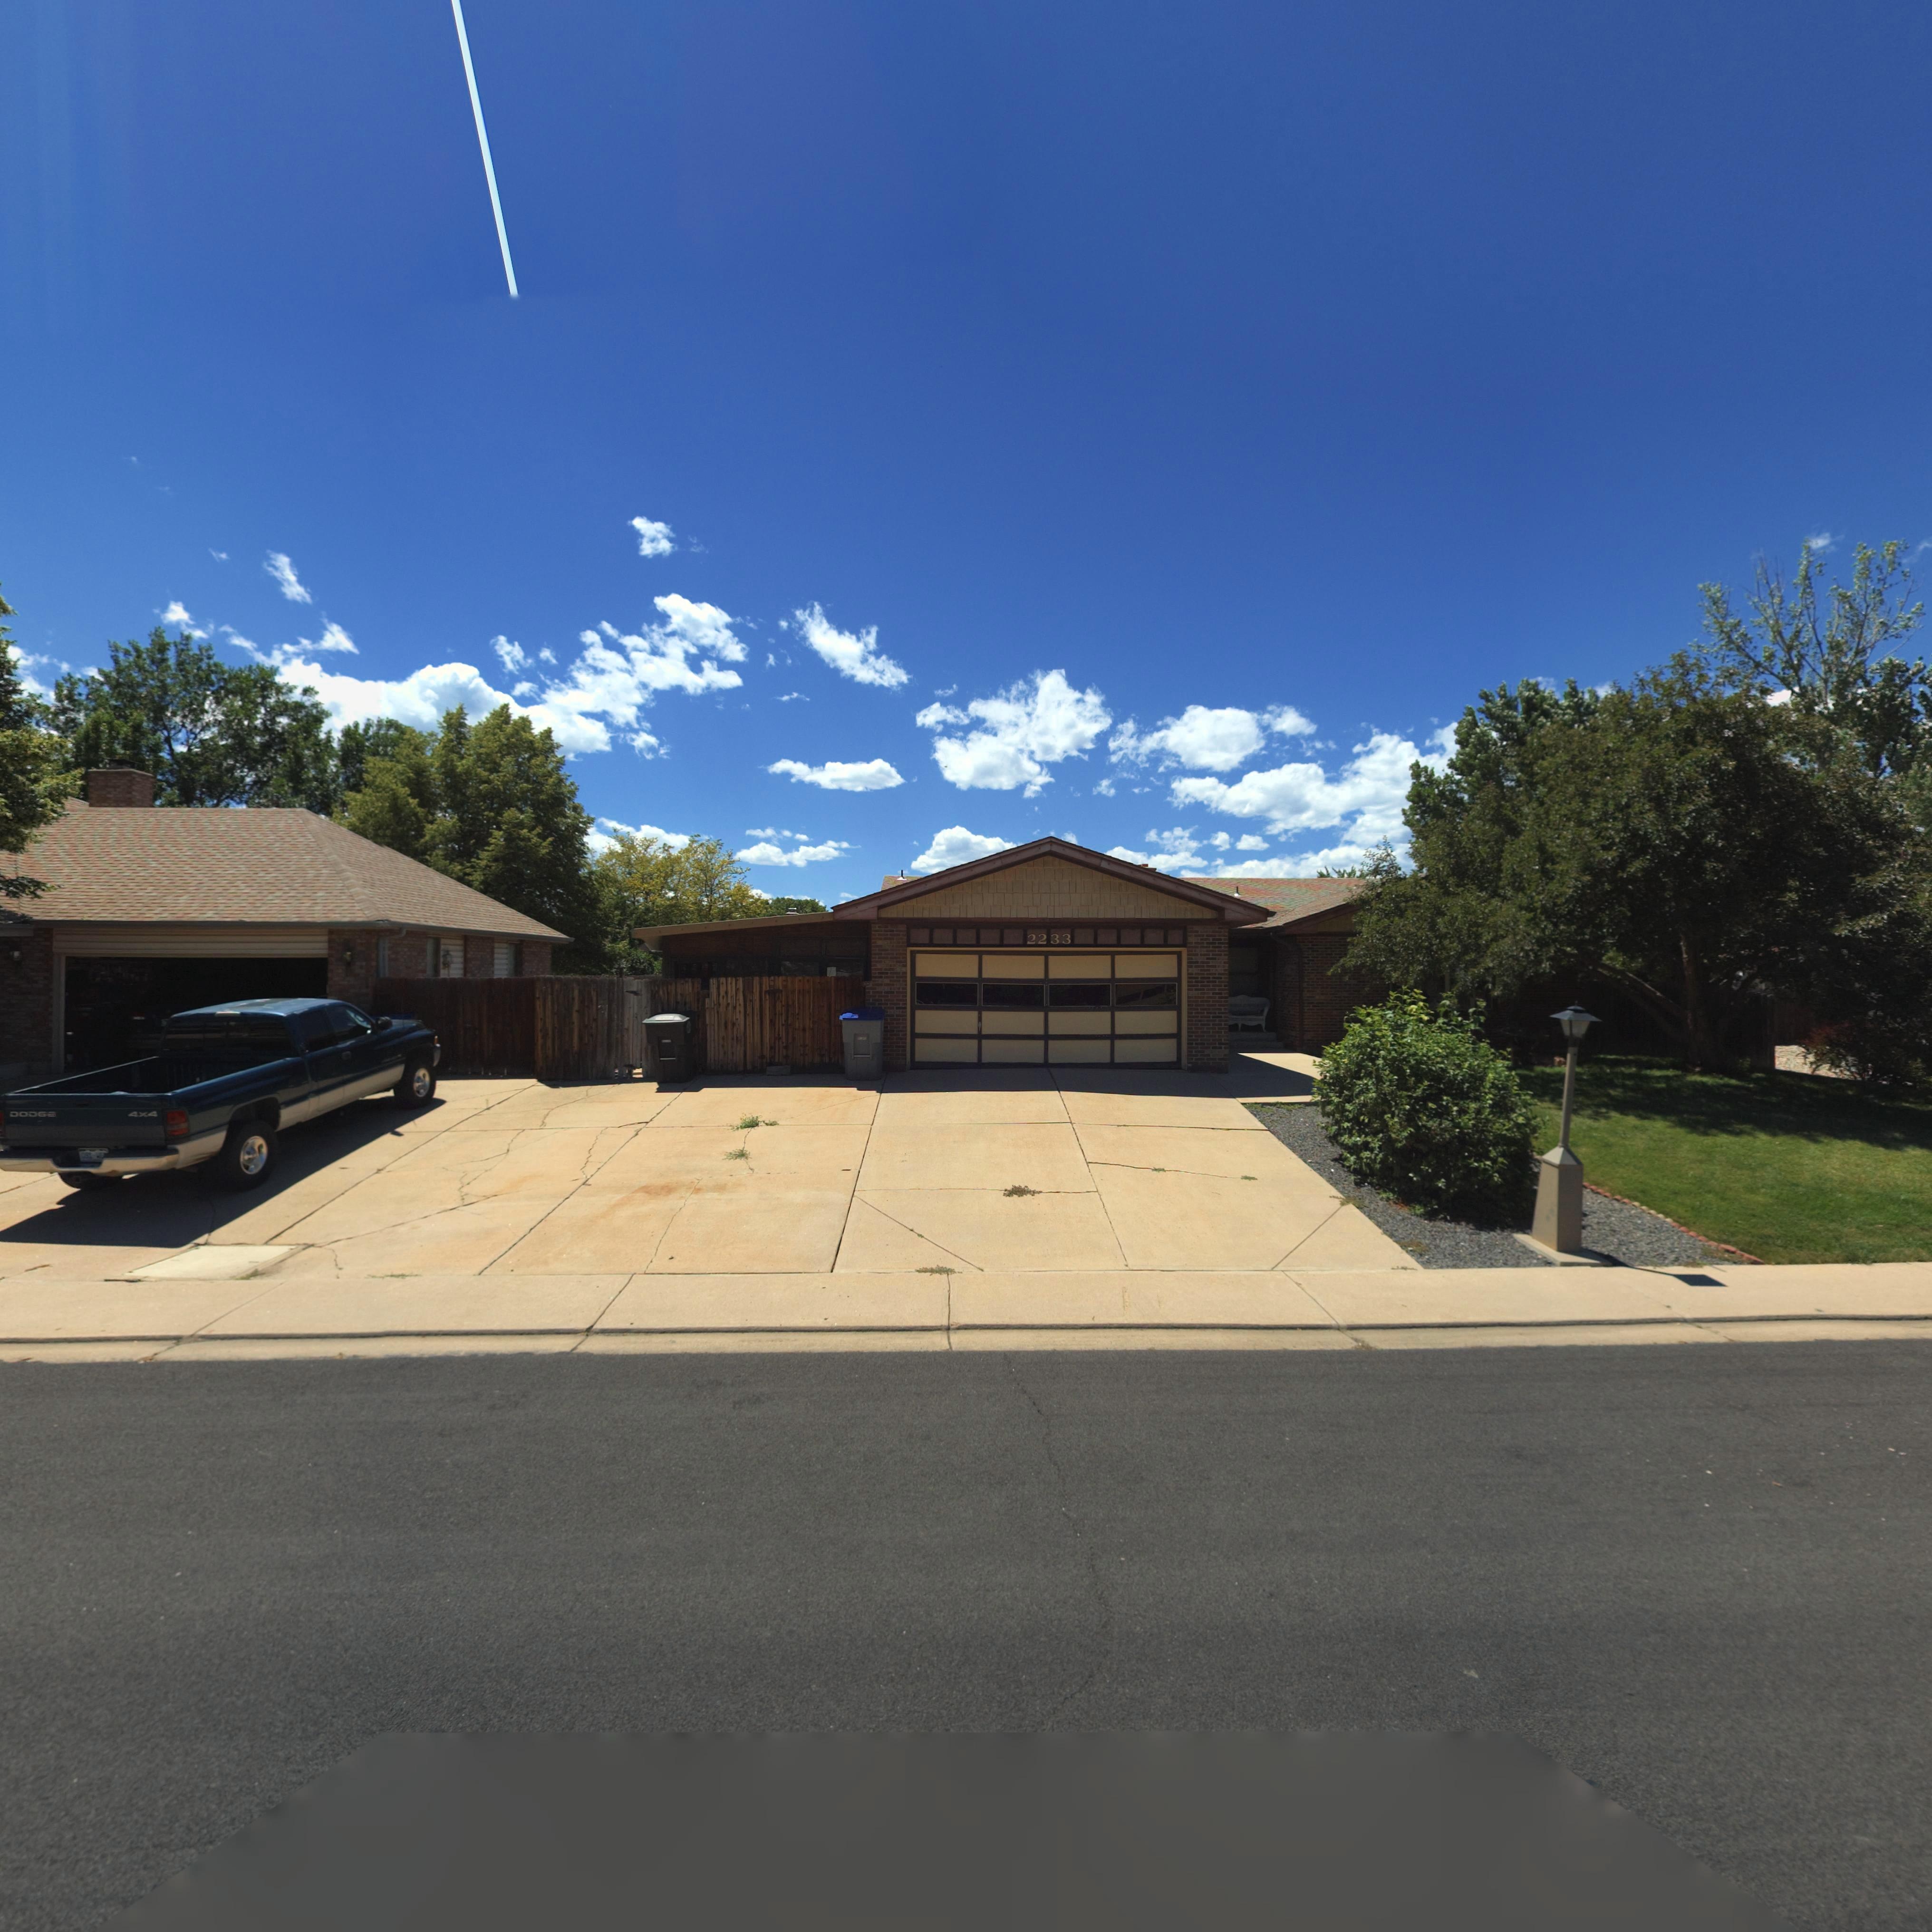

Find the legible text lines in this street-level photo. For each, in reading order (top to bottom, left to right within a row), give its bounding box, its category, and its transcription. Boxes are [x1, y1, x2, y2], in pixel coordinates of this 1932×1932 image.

[1027, 934, 1071, 944] StreetNumber: 2233